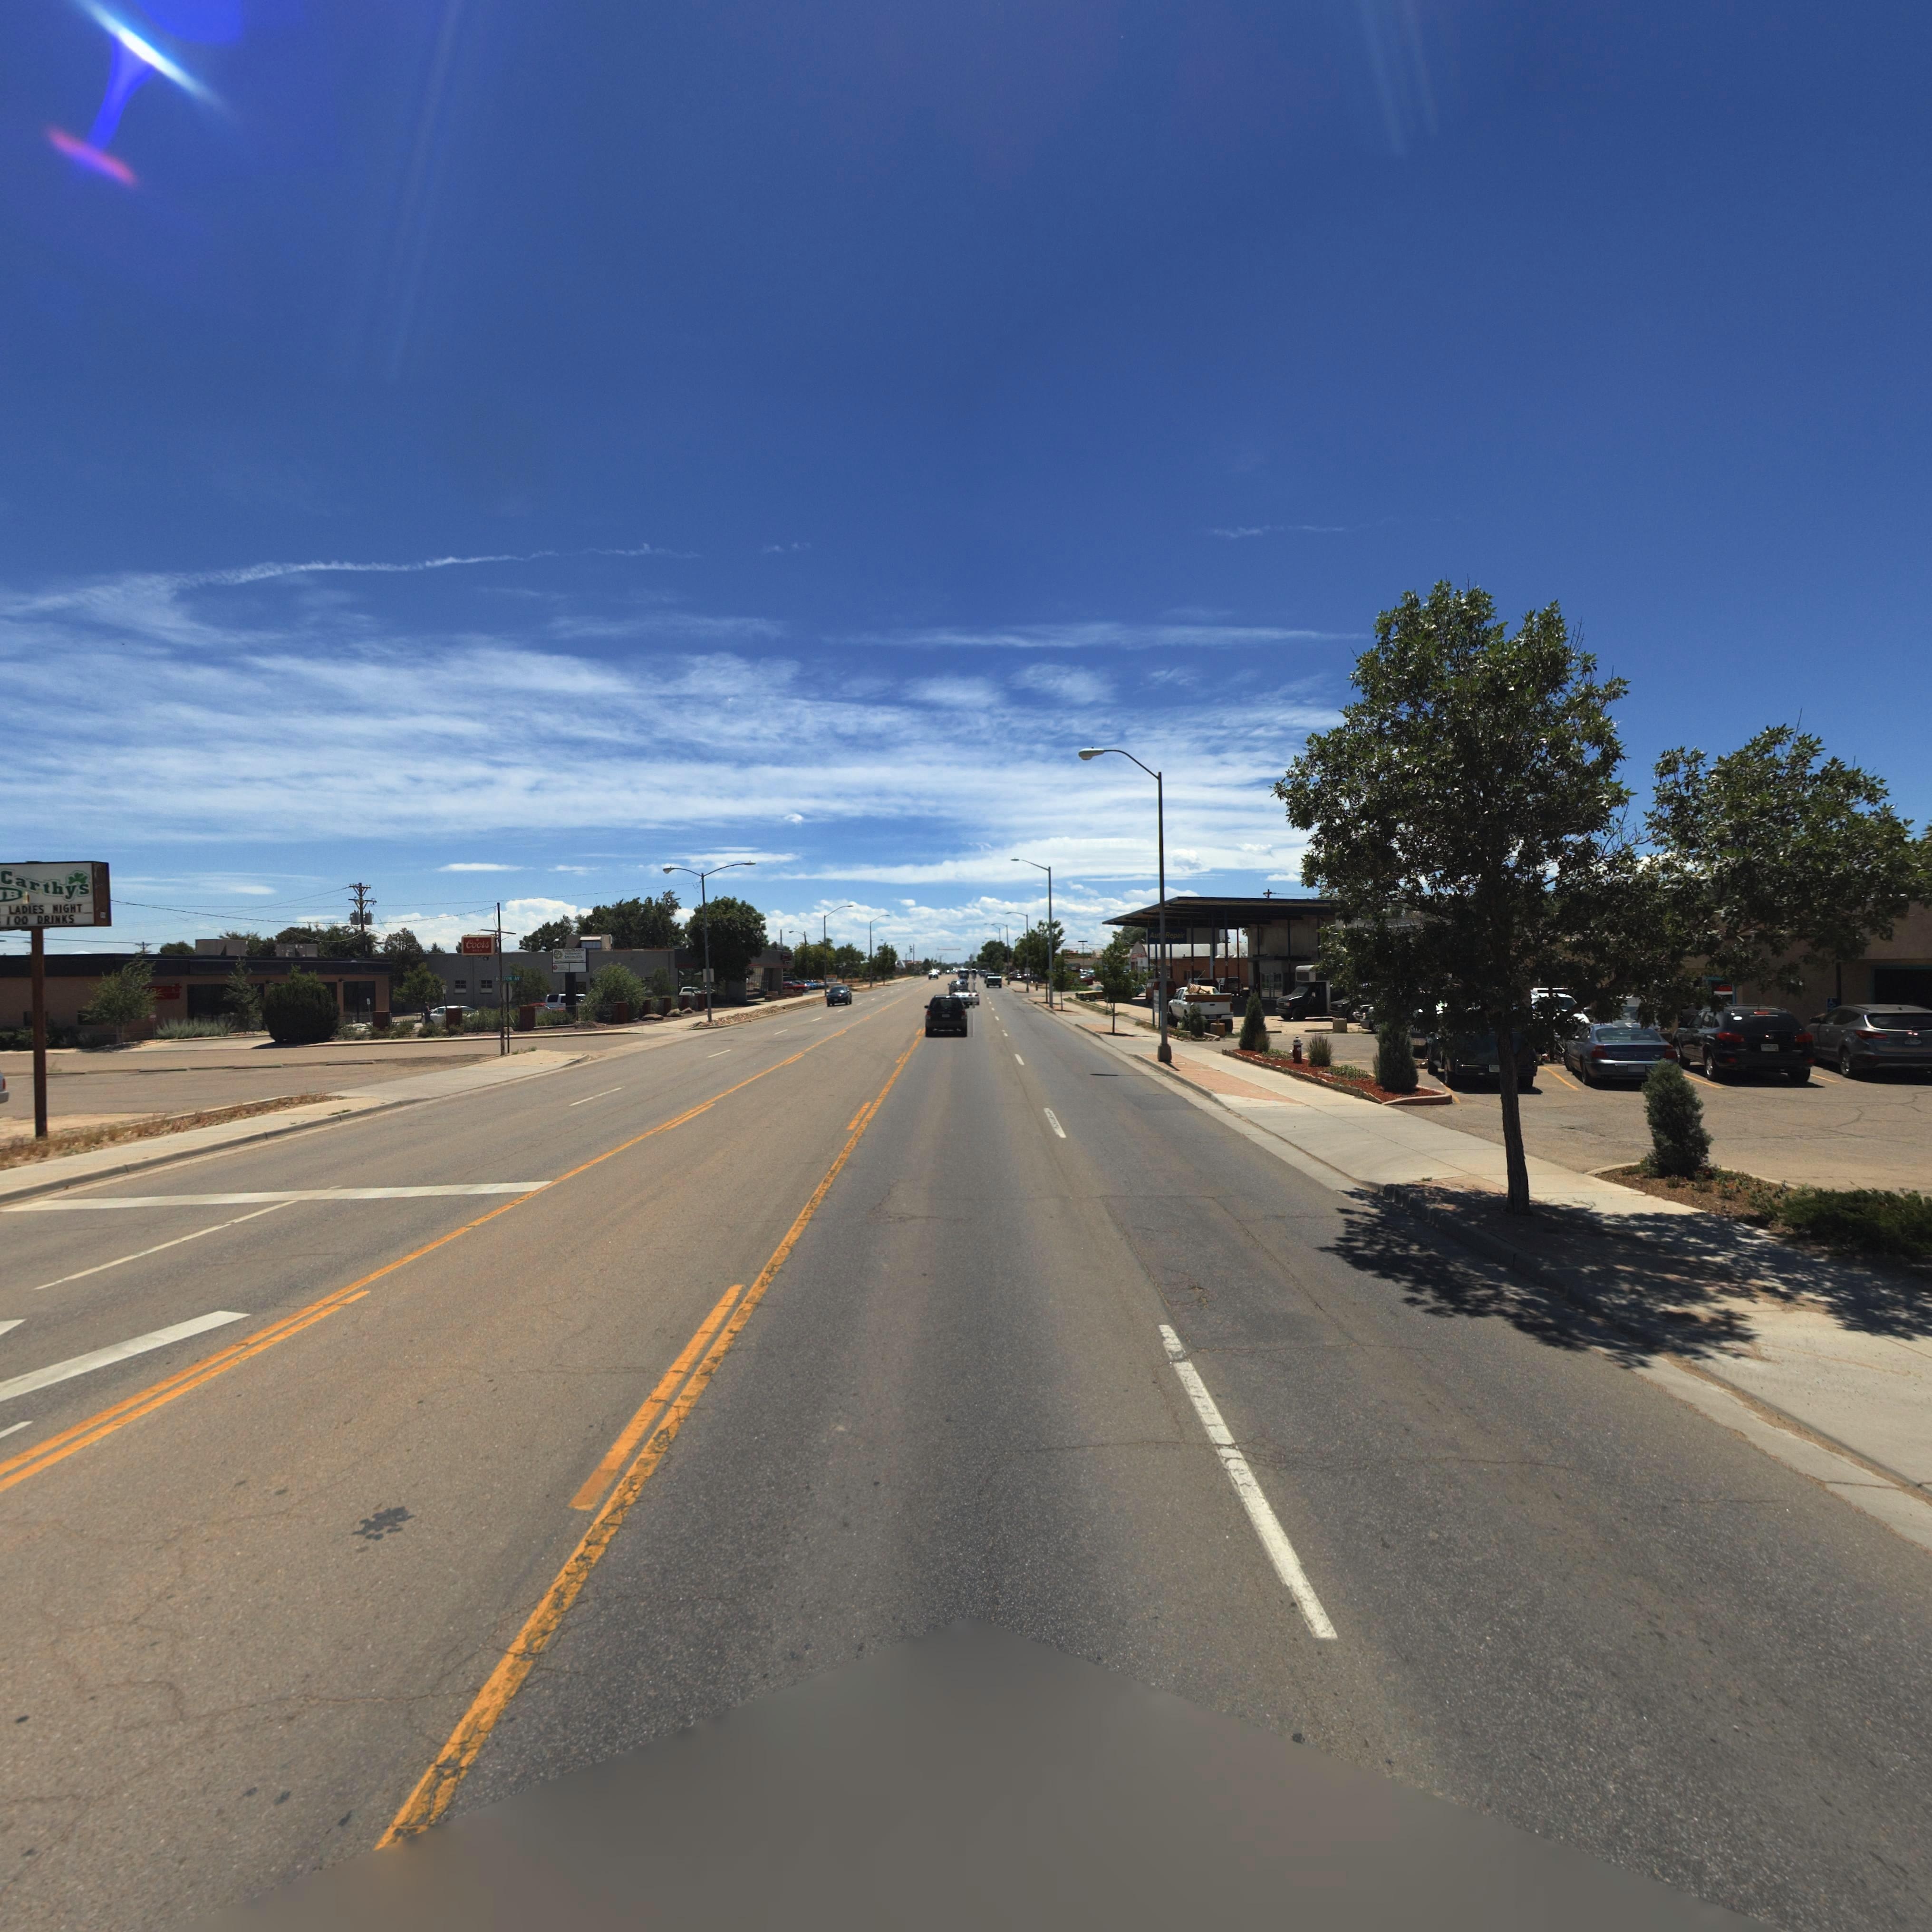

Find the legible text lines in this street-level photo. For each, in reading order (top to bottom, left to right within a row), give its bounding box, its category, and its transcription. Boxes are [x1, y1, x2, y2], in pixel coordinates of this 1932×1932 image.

[0, 867, 90, 901] BusinessName: Carthys
[1149, 931, 1185, 940] BusinessName: Aut* Repair
[495, 976, 519, 980] StreetName: B**TON AV